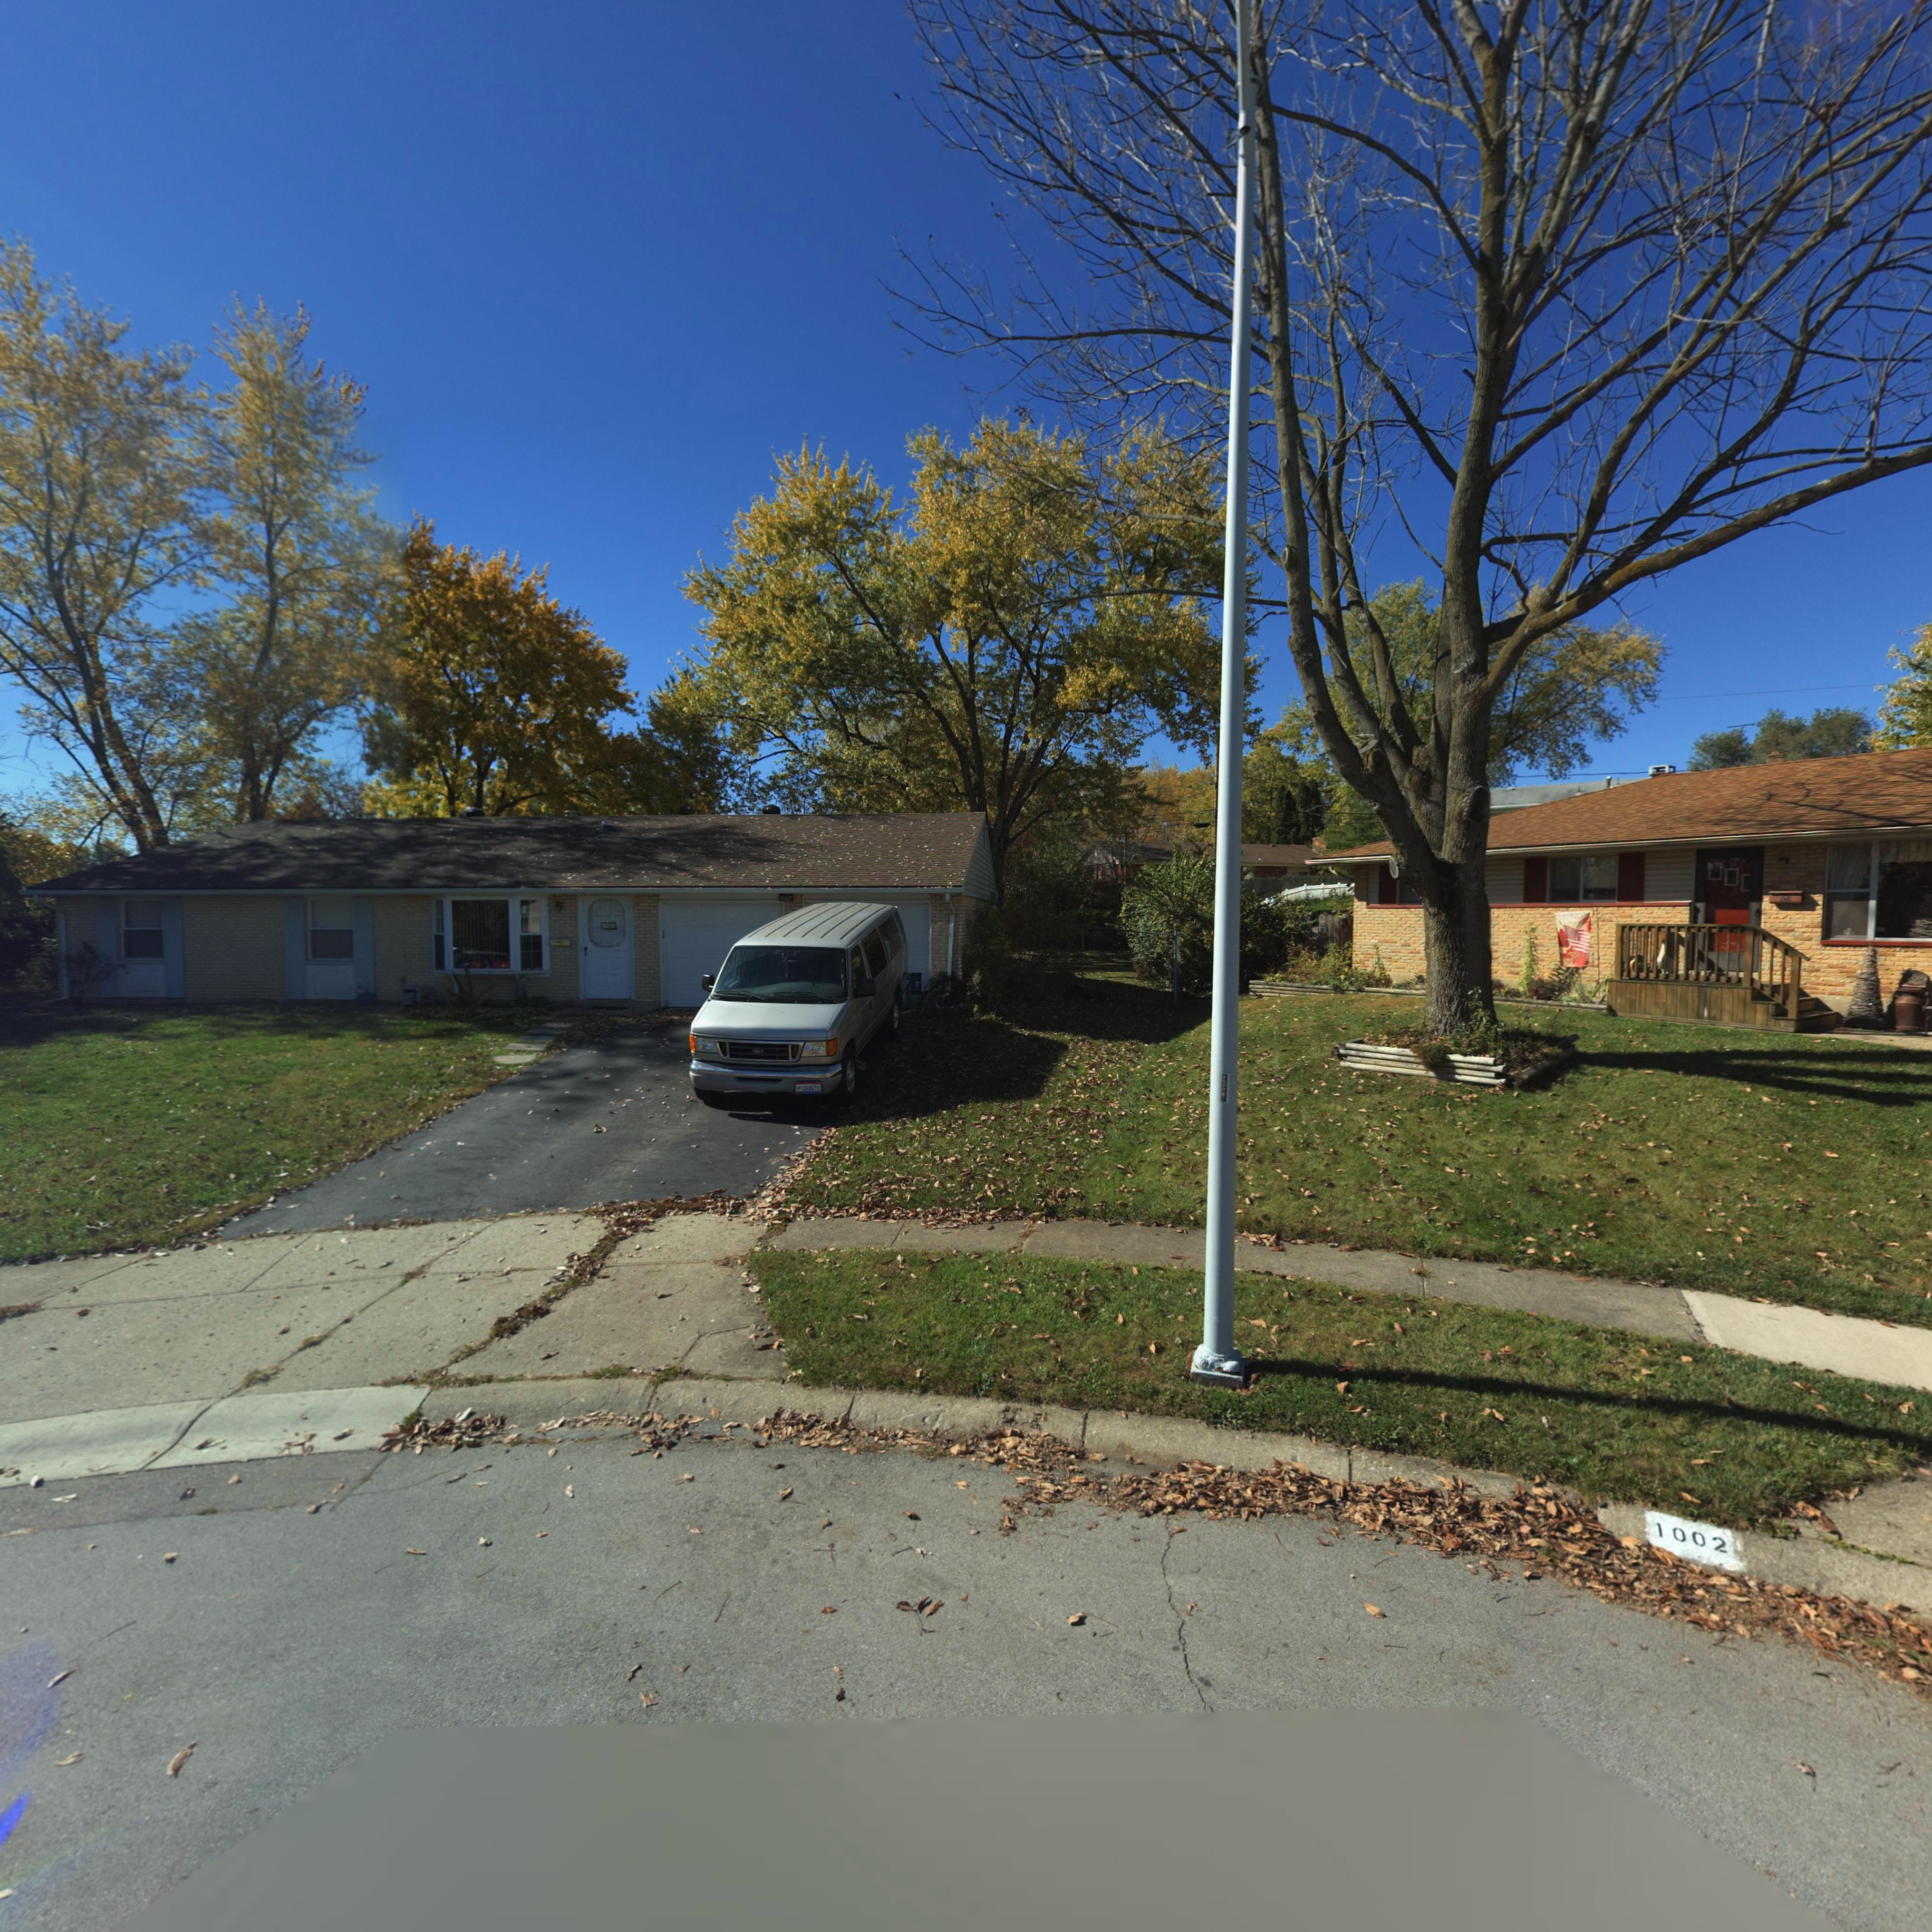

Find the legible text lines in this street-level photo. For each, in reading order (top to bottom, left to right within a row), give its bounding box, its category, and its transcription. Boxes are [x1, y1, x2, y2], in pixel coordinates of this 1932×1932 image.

[779, 895, 792, 901] StreetNumber: 1004
[1655, 1522, 1728, 1555] StreetNumber: 1002